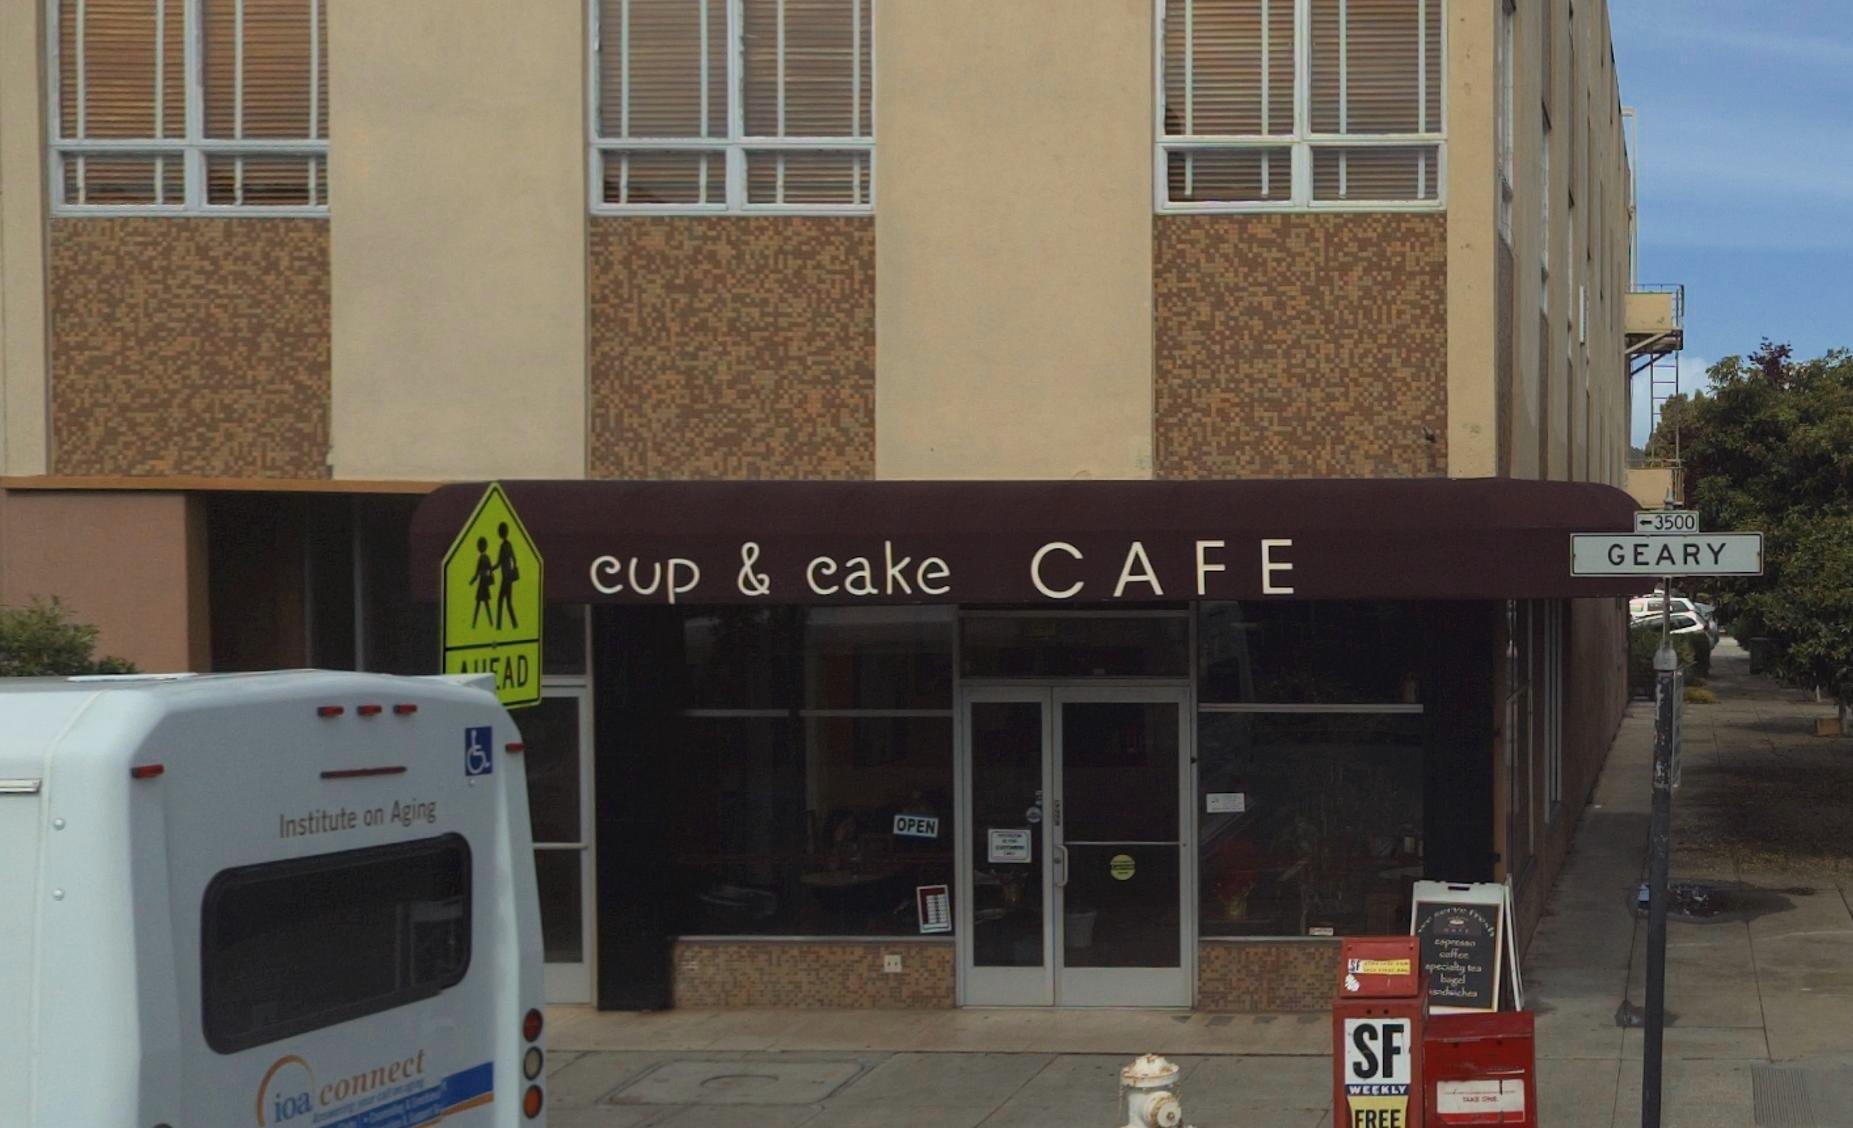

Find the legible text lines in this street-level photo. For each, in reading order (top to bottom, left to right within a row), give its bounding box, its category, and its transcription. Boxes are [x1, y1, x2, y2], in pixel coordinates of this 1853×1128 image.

[1636, 513, 1697, 532] StreetNumberRange: <- 3500
[585, 535, 1297, 606] BusinessName: cup & cake CAFE
[1602, 539, 1730, 568] StreetName: GEARY
[501, 651, 530, 692] None: AD
[274, 796, 440, 842] None: Institute on Aging
[894, 814, 938, 838] None: OPEN
[1352, 1022, 1408, 1082] None: SF
[272, 1046, 428, 1126] None: ioa connect
[1346, 1084, 1411, 1096] None: WEEKLY
[1348, 1106, 1403, 1127] None: FREE